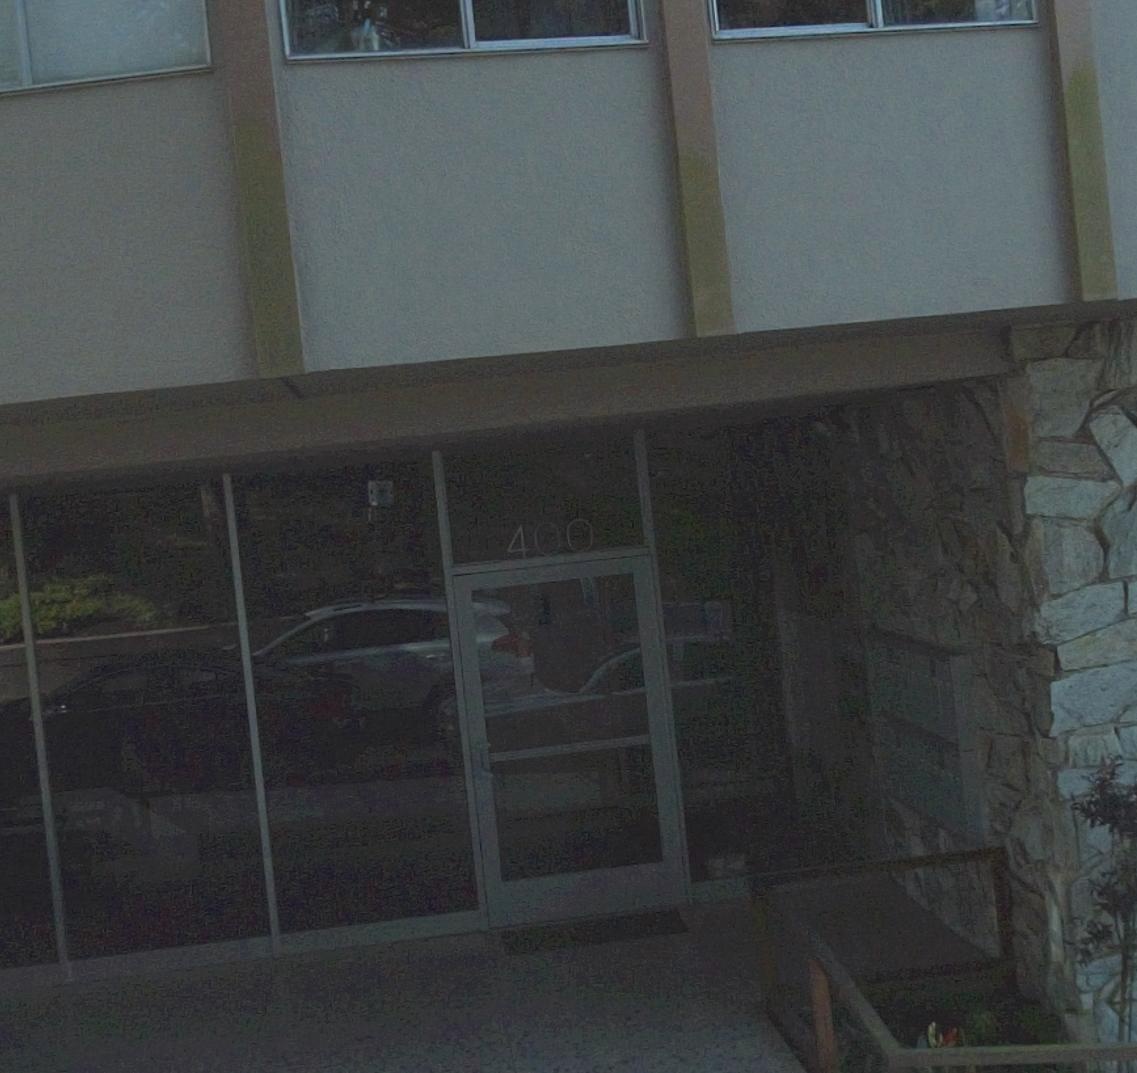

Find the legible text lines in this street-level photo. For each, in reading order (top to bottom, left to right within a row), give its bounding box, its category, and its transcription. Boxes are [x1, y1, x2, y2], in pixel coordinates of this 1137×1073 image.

[506, 516, 595, 561] StreetNumber: 400